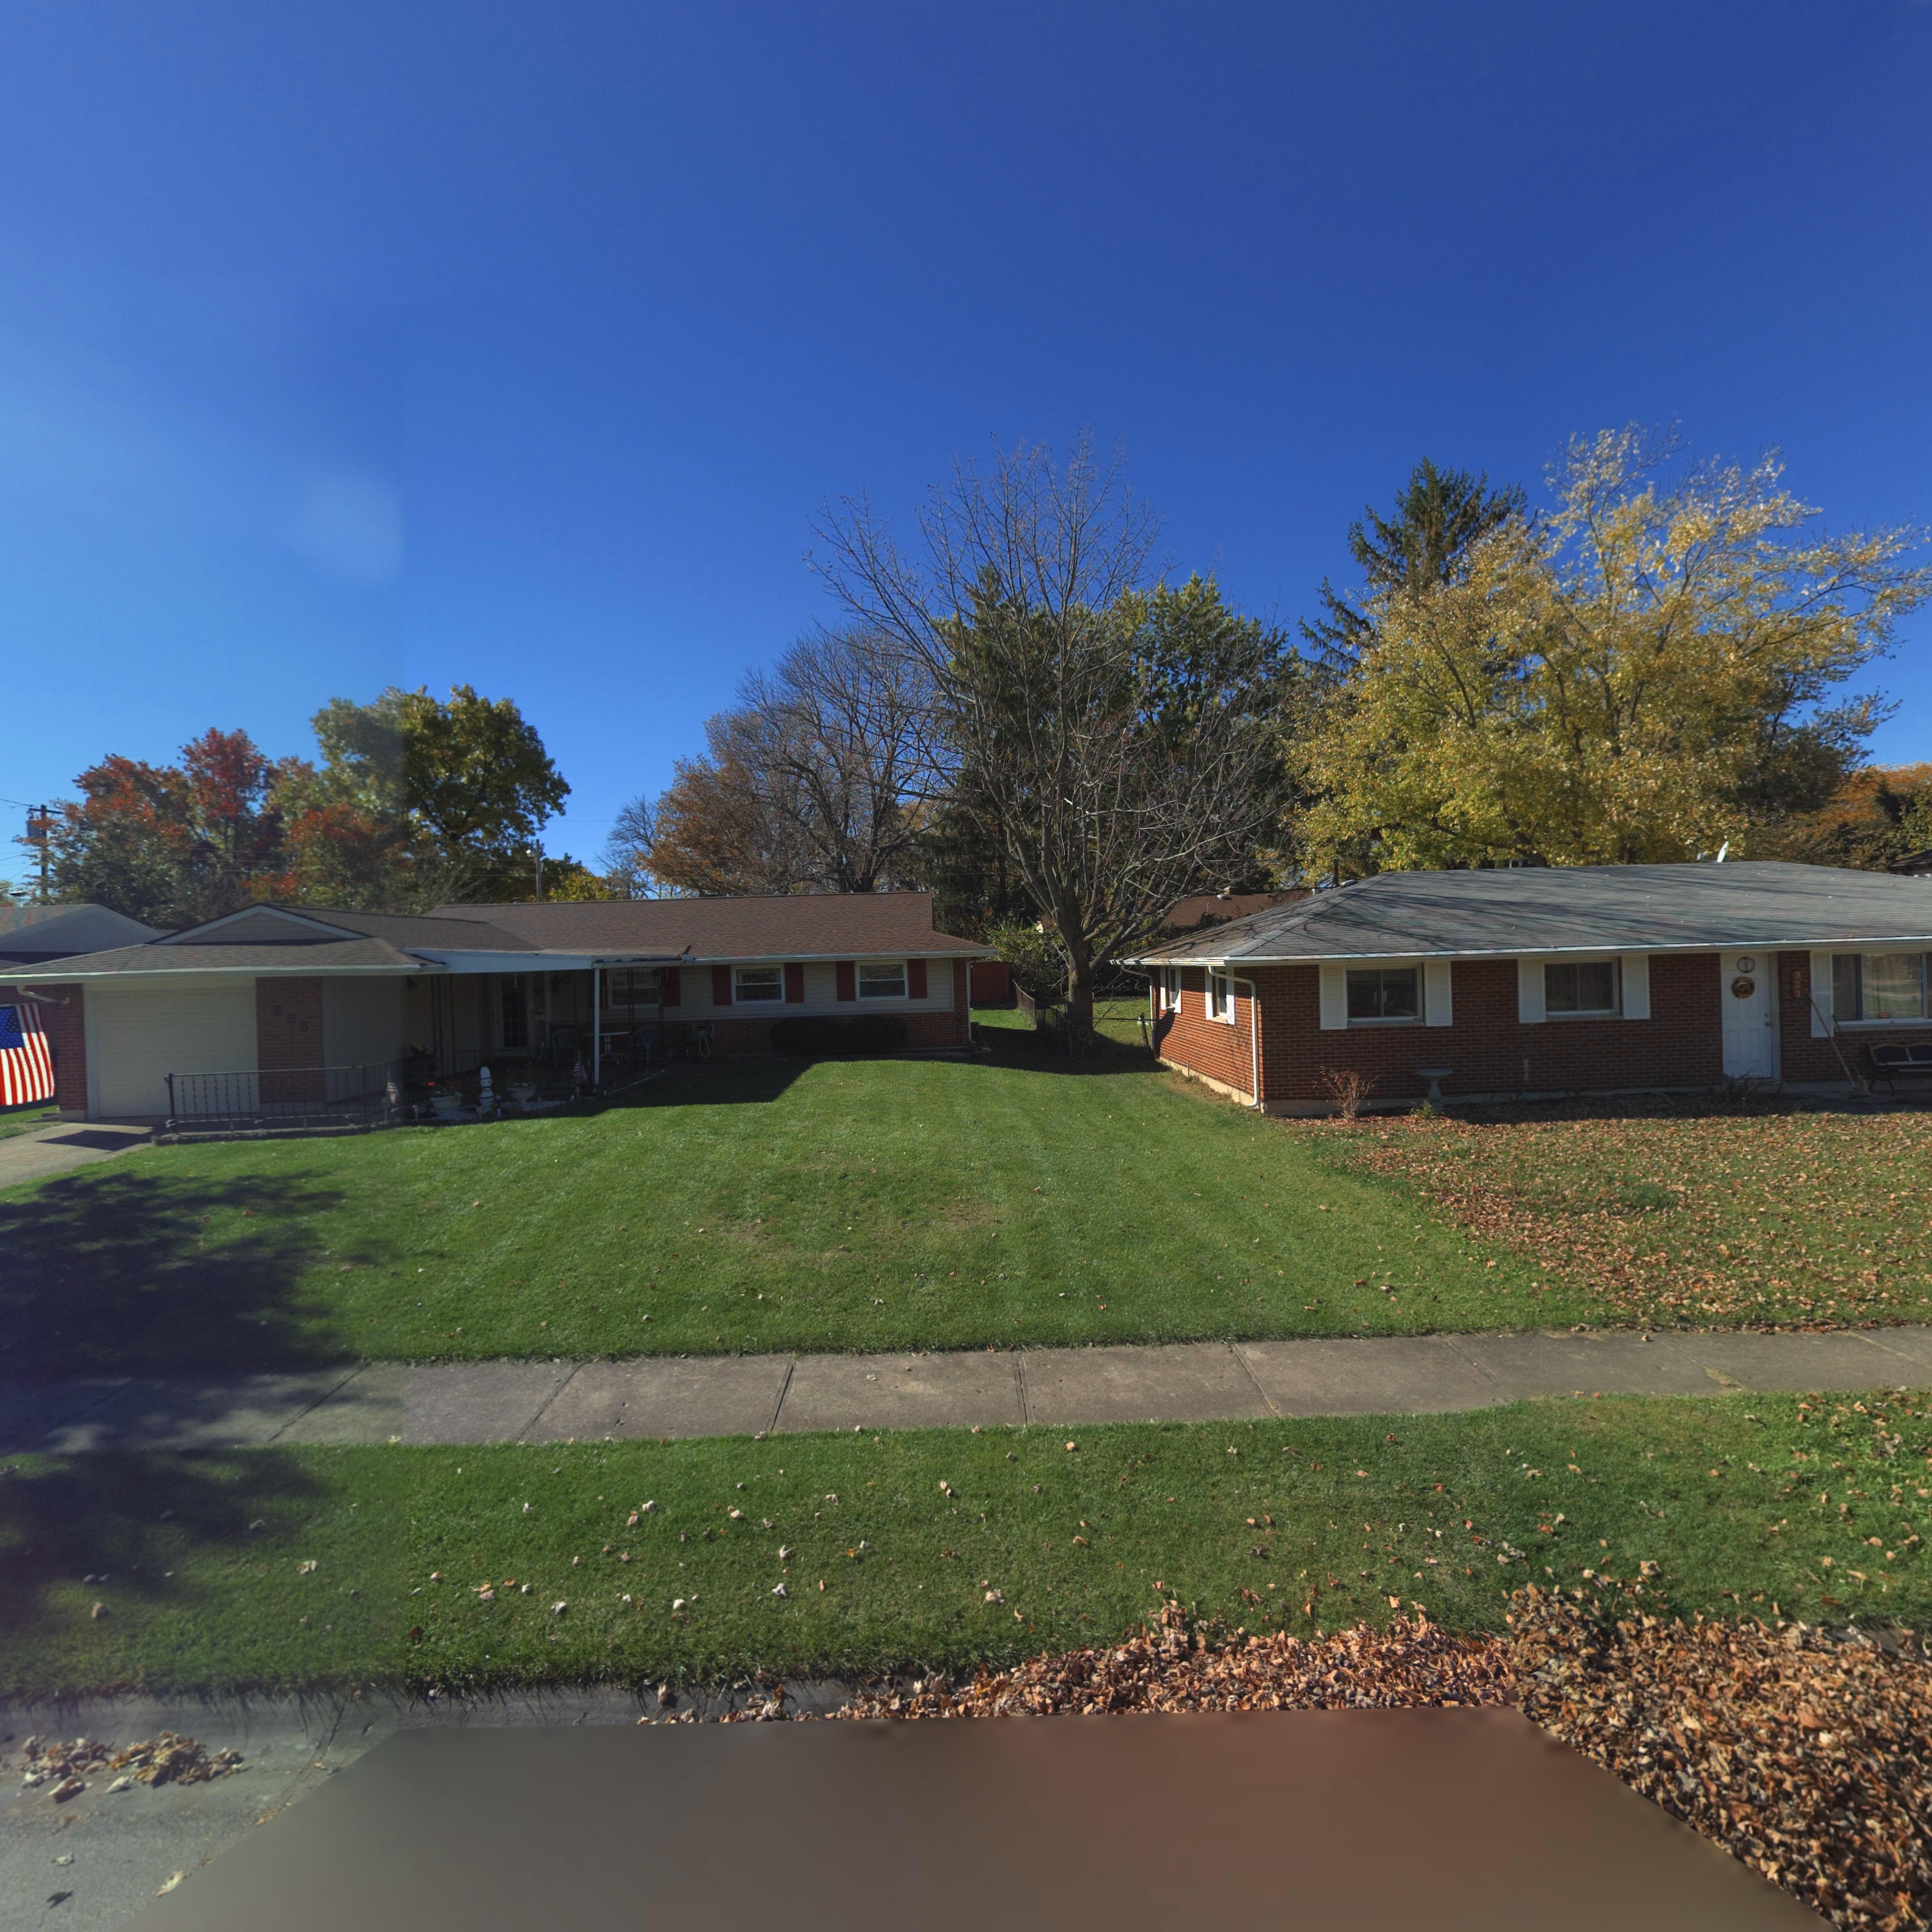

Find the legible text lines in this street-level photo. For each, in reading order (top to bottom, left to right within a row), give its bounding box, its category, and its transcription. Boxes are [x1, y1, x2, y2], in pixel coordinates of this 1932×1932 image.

[1794, 970, 1802, 999] StreetNumber: 323
[272, 1003, 311, 1034] StreetNumber: *25